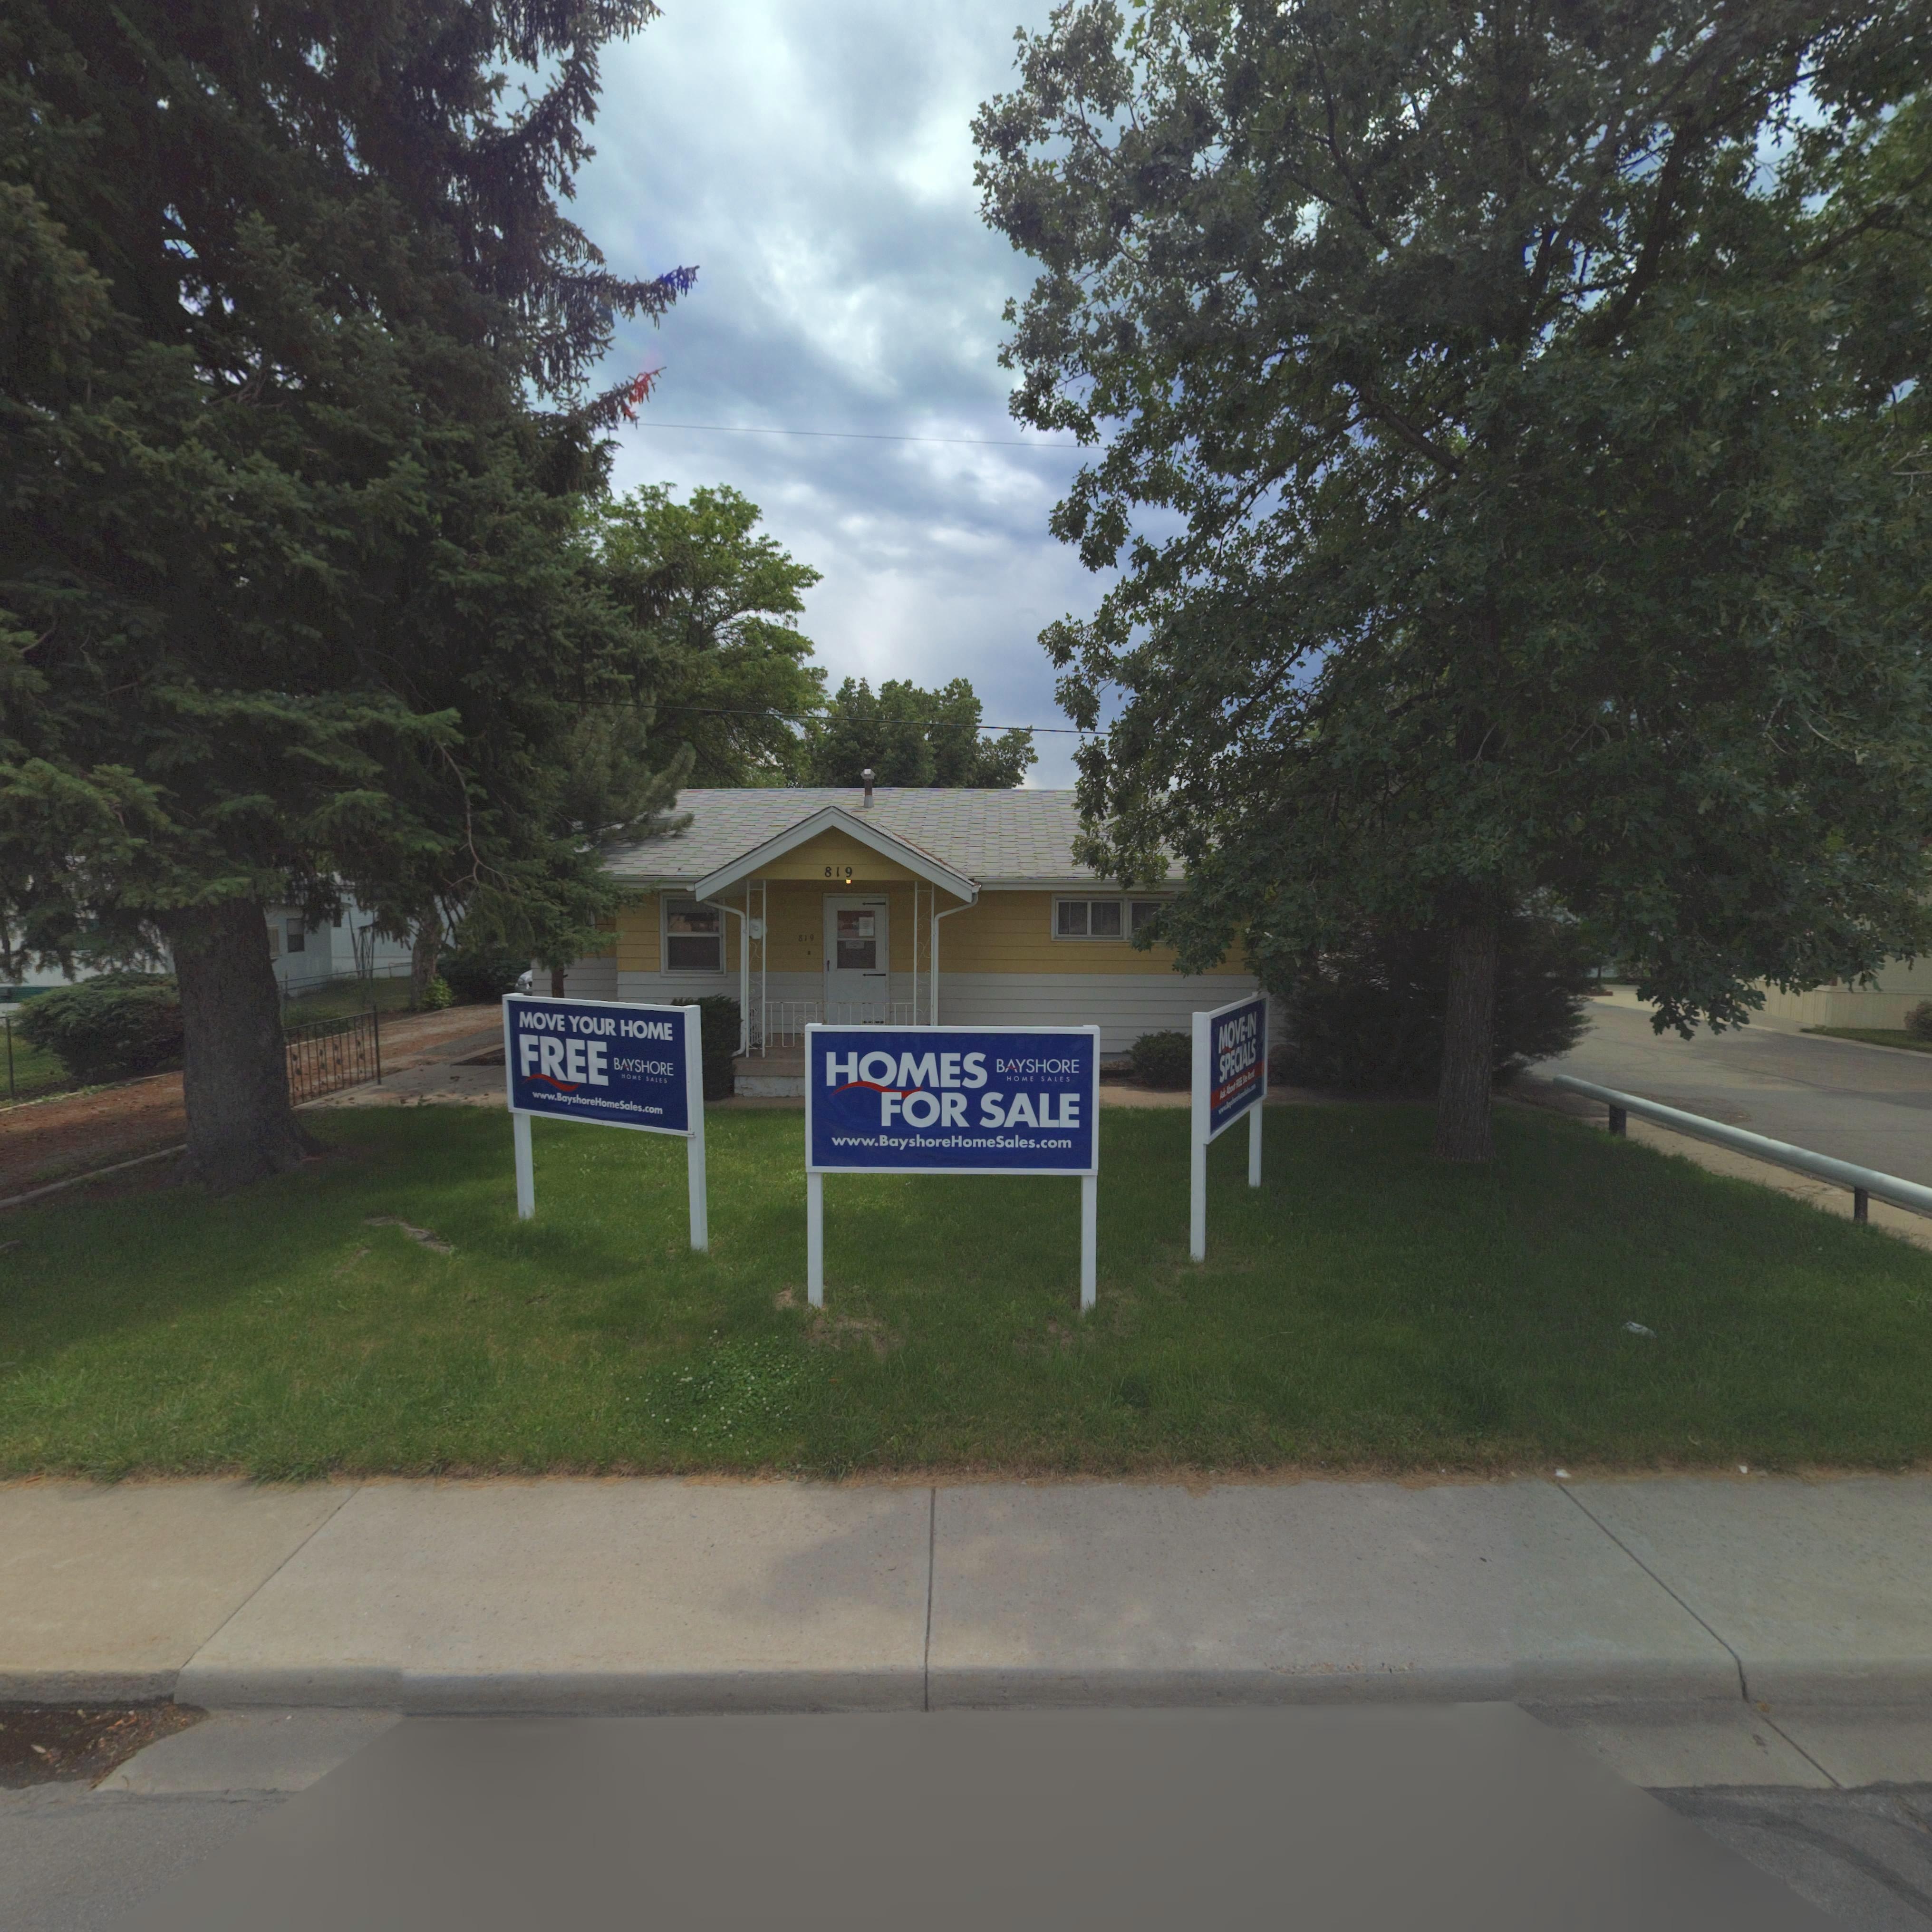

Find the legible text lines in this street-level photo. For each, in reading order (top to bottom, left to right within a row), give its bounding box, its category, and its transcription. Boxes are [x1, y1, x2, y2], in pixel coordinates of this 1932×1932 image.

[824, 866, 853, 878] StreetNumber: 819
[797, 934, 814, 942] StreetNumber: 819
[531, 1091, 663, 1115] None: Y*